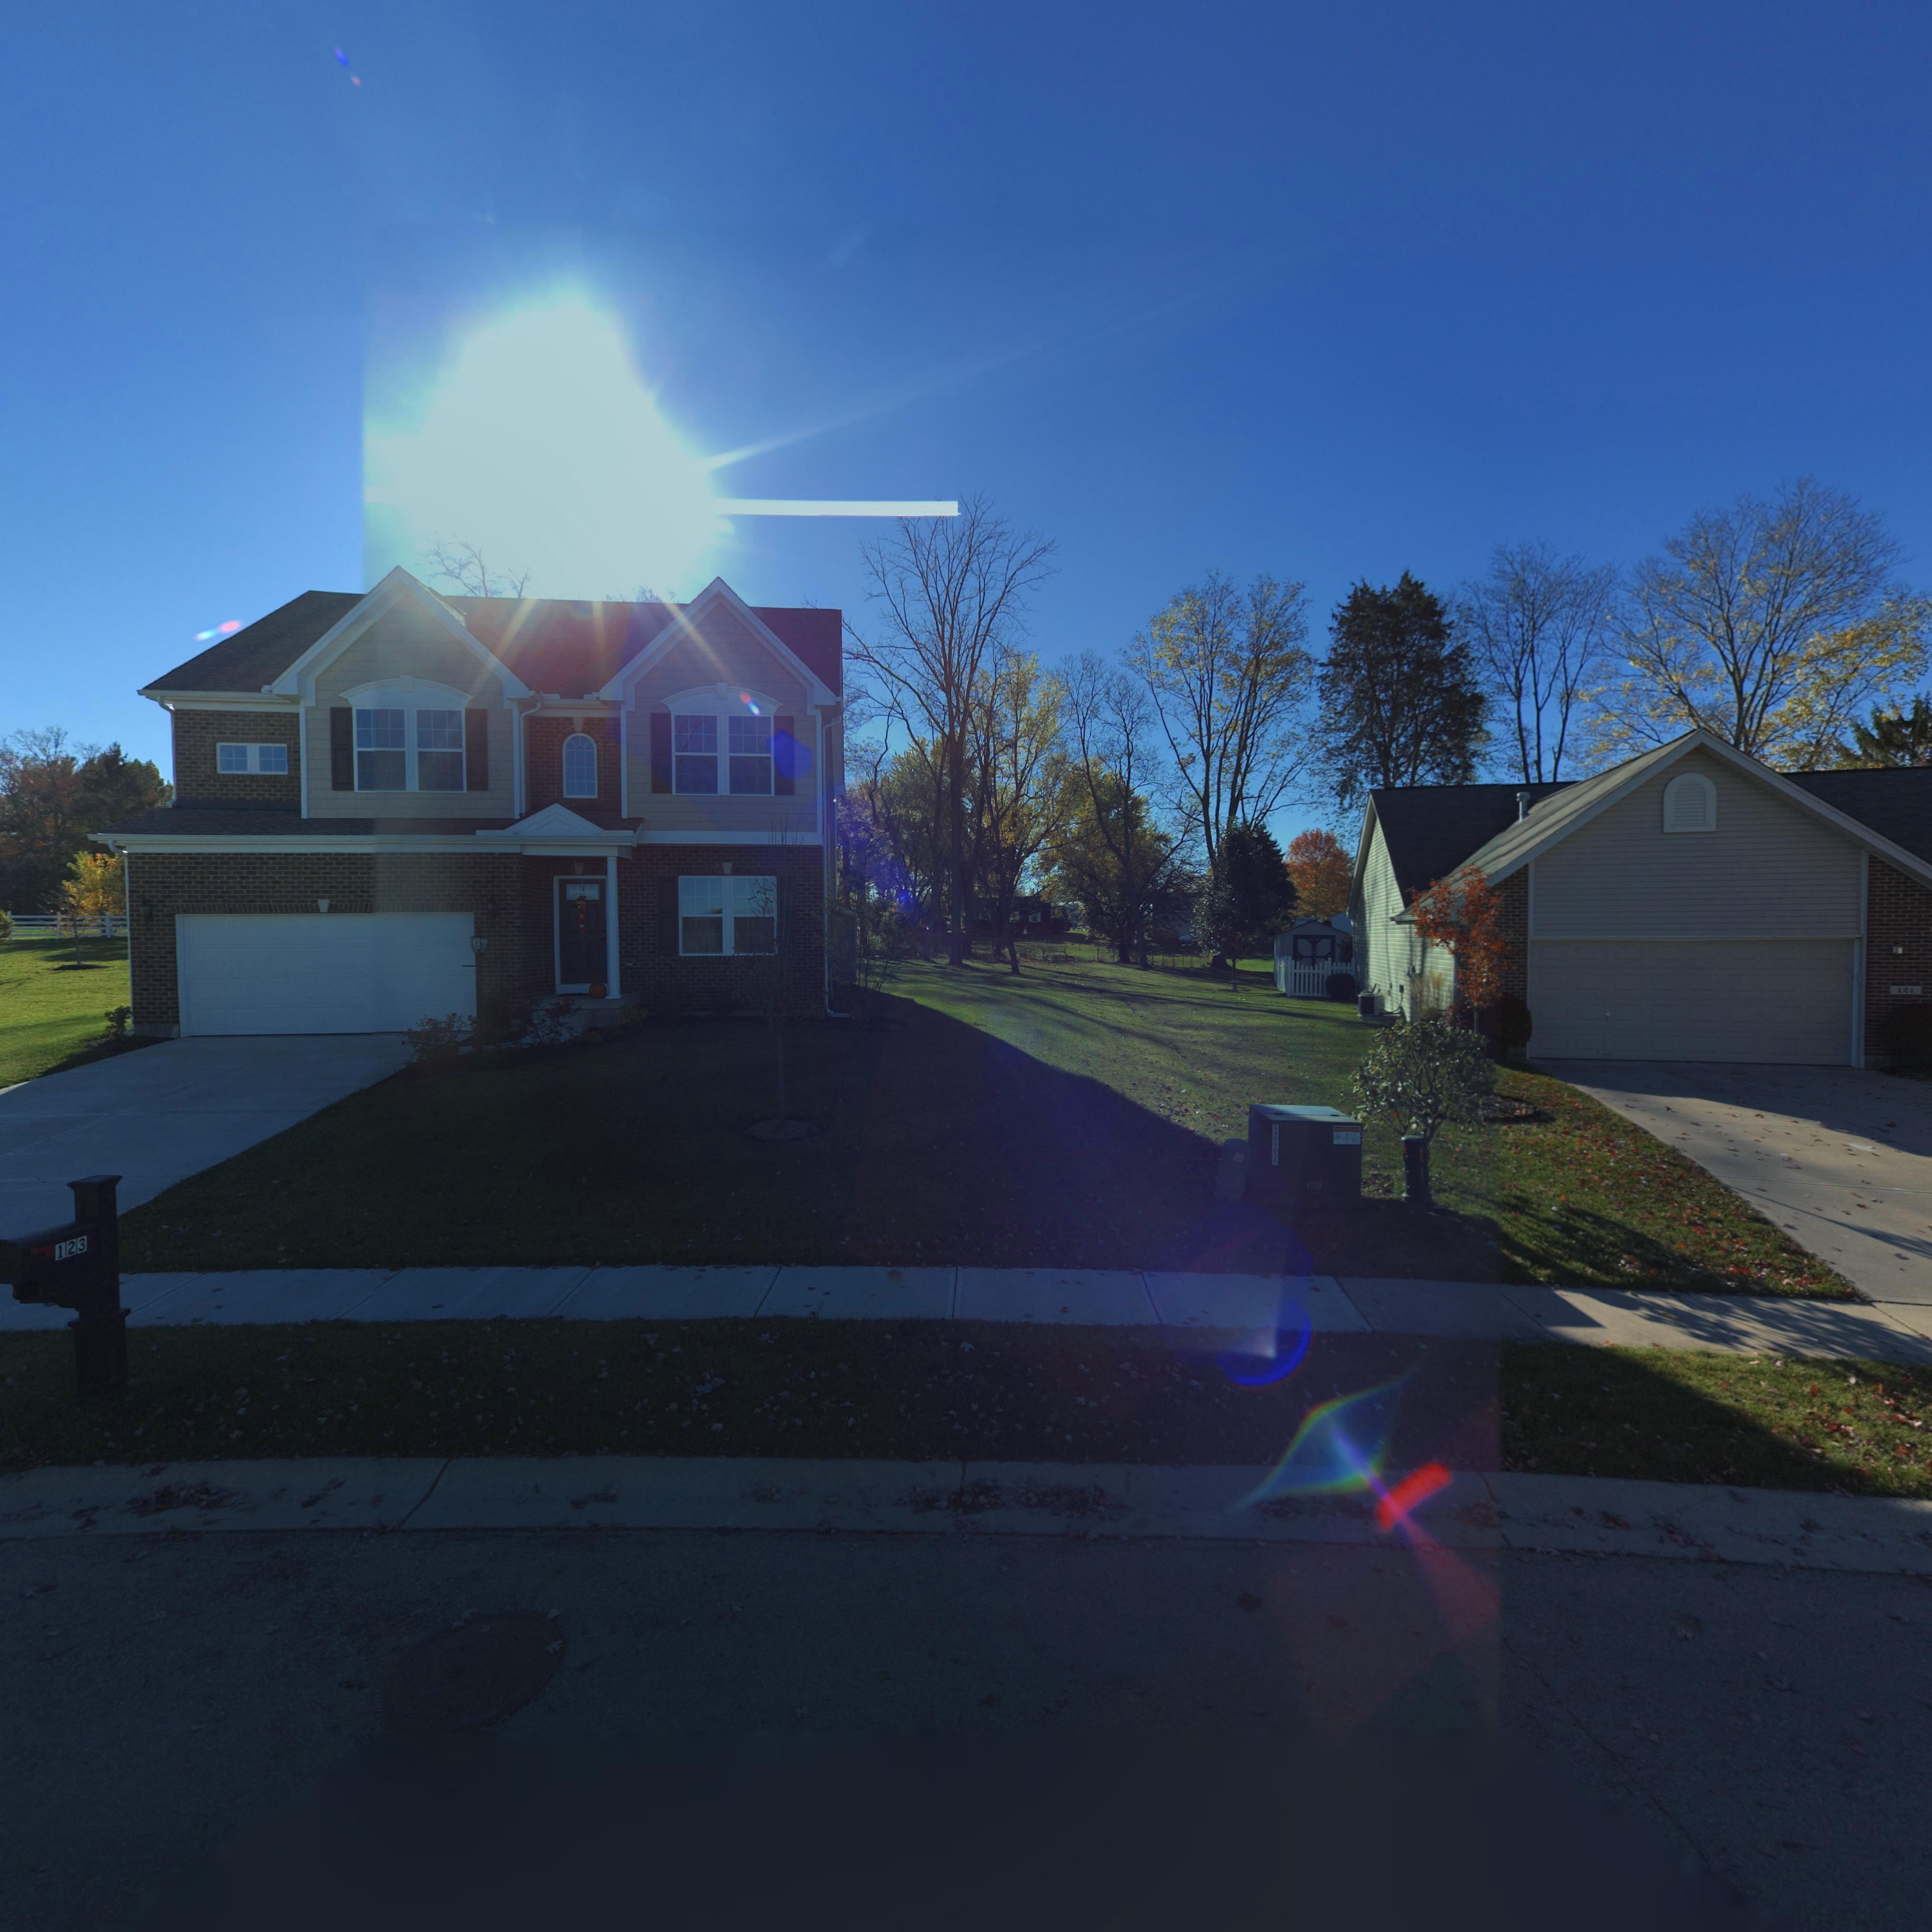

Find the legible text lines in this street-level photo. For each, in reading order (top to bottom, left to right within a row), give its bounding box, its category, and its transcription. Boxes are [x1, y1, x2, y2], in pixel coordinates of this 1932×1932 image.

[1897, 986, 1914, 994] StreetNumber: 121
[1272, 1125, 1278, 1165] None: 9909055
[56, 1236, 87, 1262] StreetNumber: 123